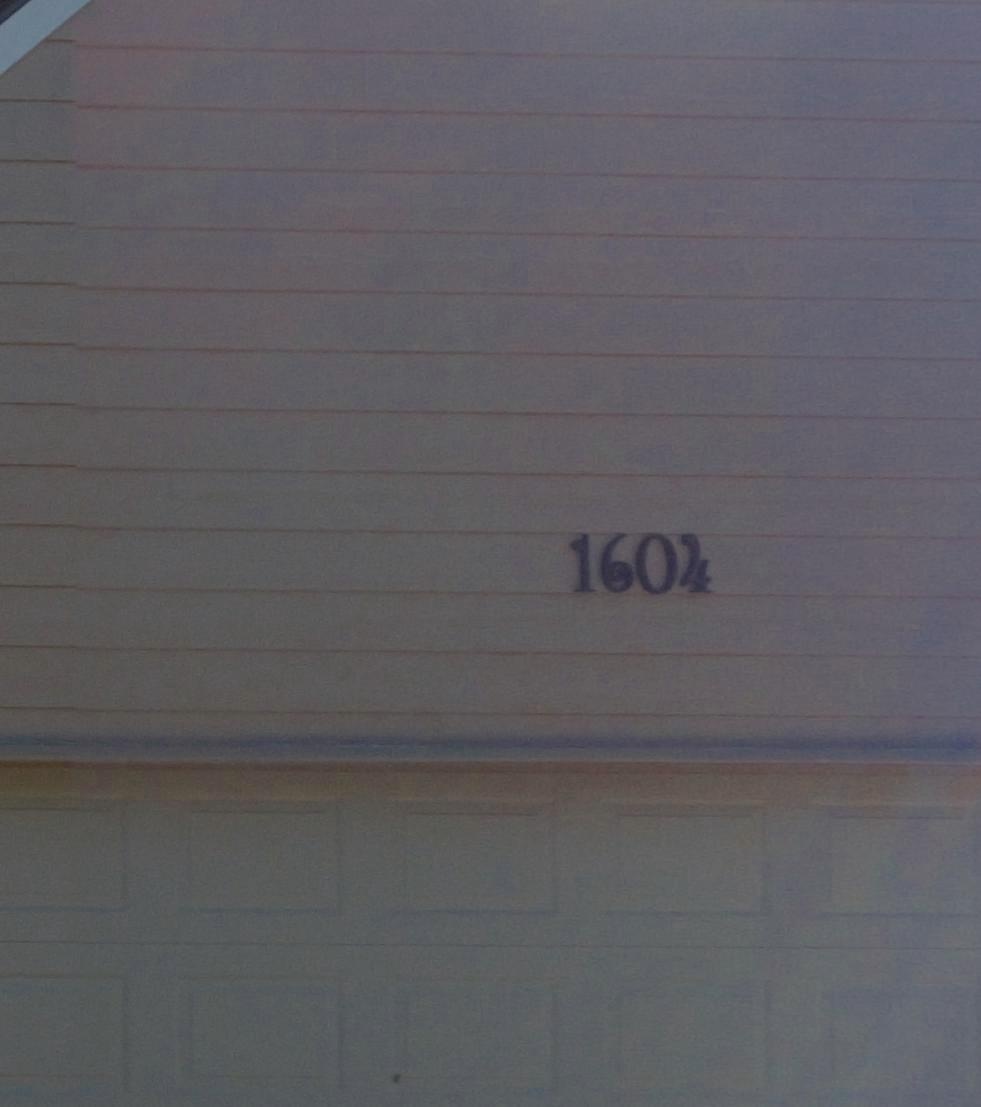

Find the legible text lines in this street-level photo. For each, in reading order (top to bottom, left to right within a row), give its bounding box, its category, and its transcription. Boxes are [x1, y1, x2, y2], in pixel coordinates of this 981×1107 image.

[570, 531, 717, 596] StreetNumber: 1604